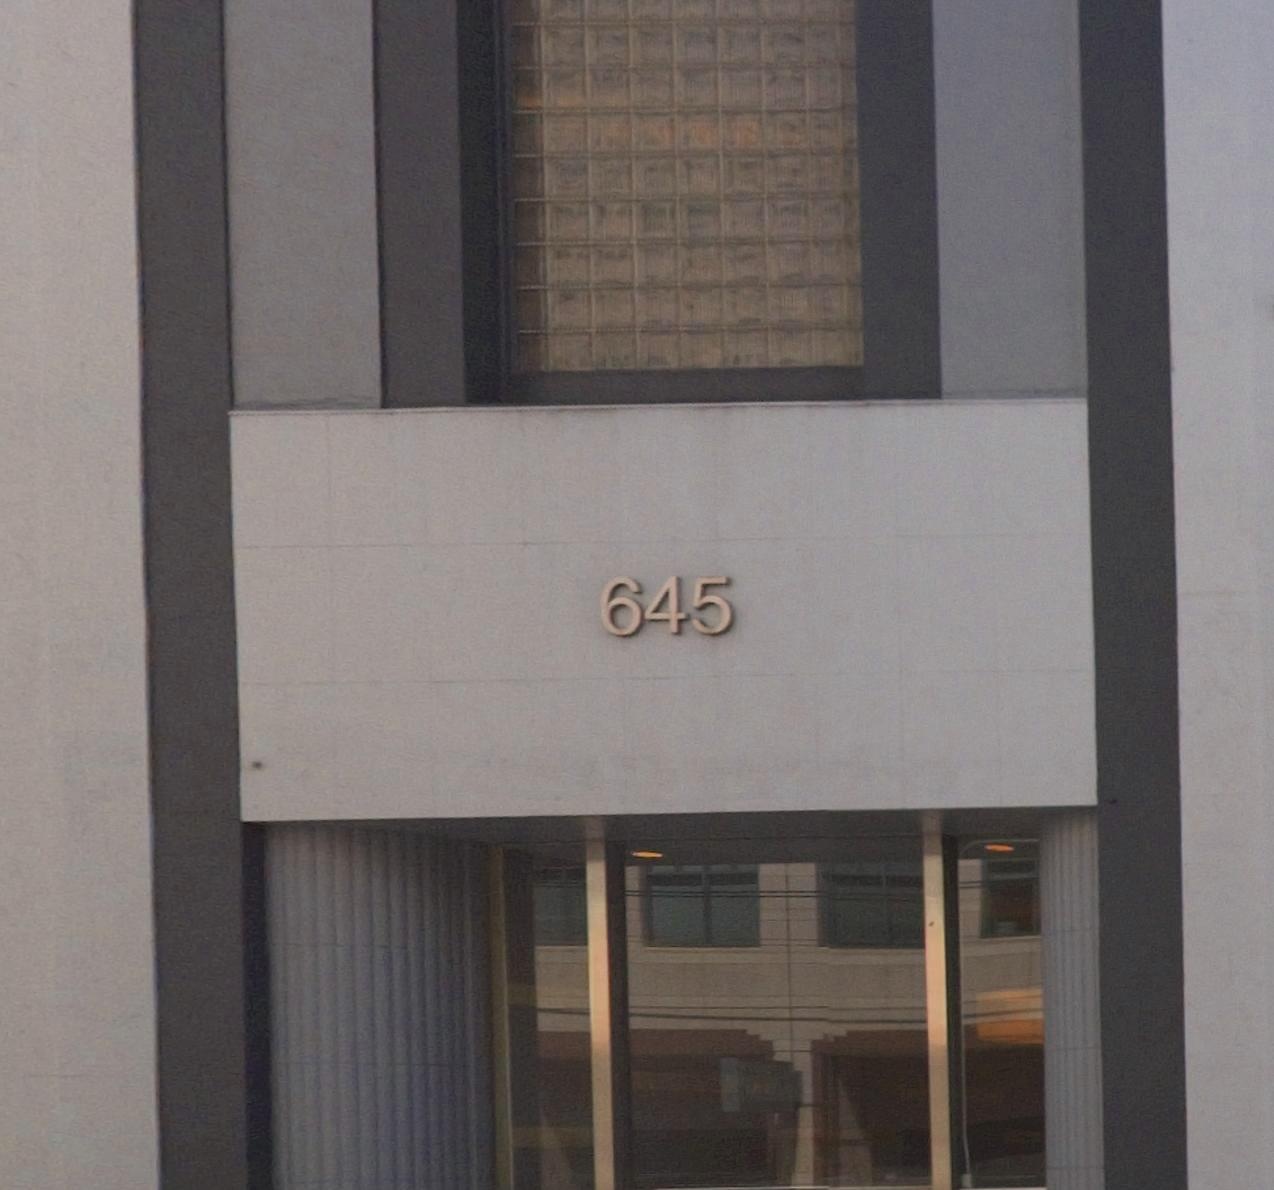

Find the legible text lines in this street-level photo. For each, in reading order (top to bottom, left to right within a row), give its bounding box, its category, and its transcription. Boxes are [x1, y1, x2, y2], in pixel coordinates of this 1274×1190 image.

[599, 574, 734, 638] StreetNumber: 645